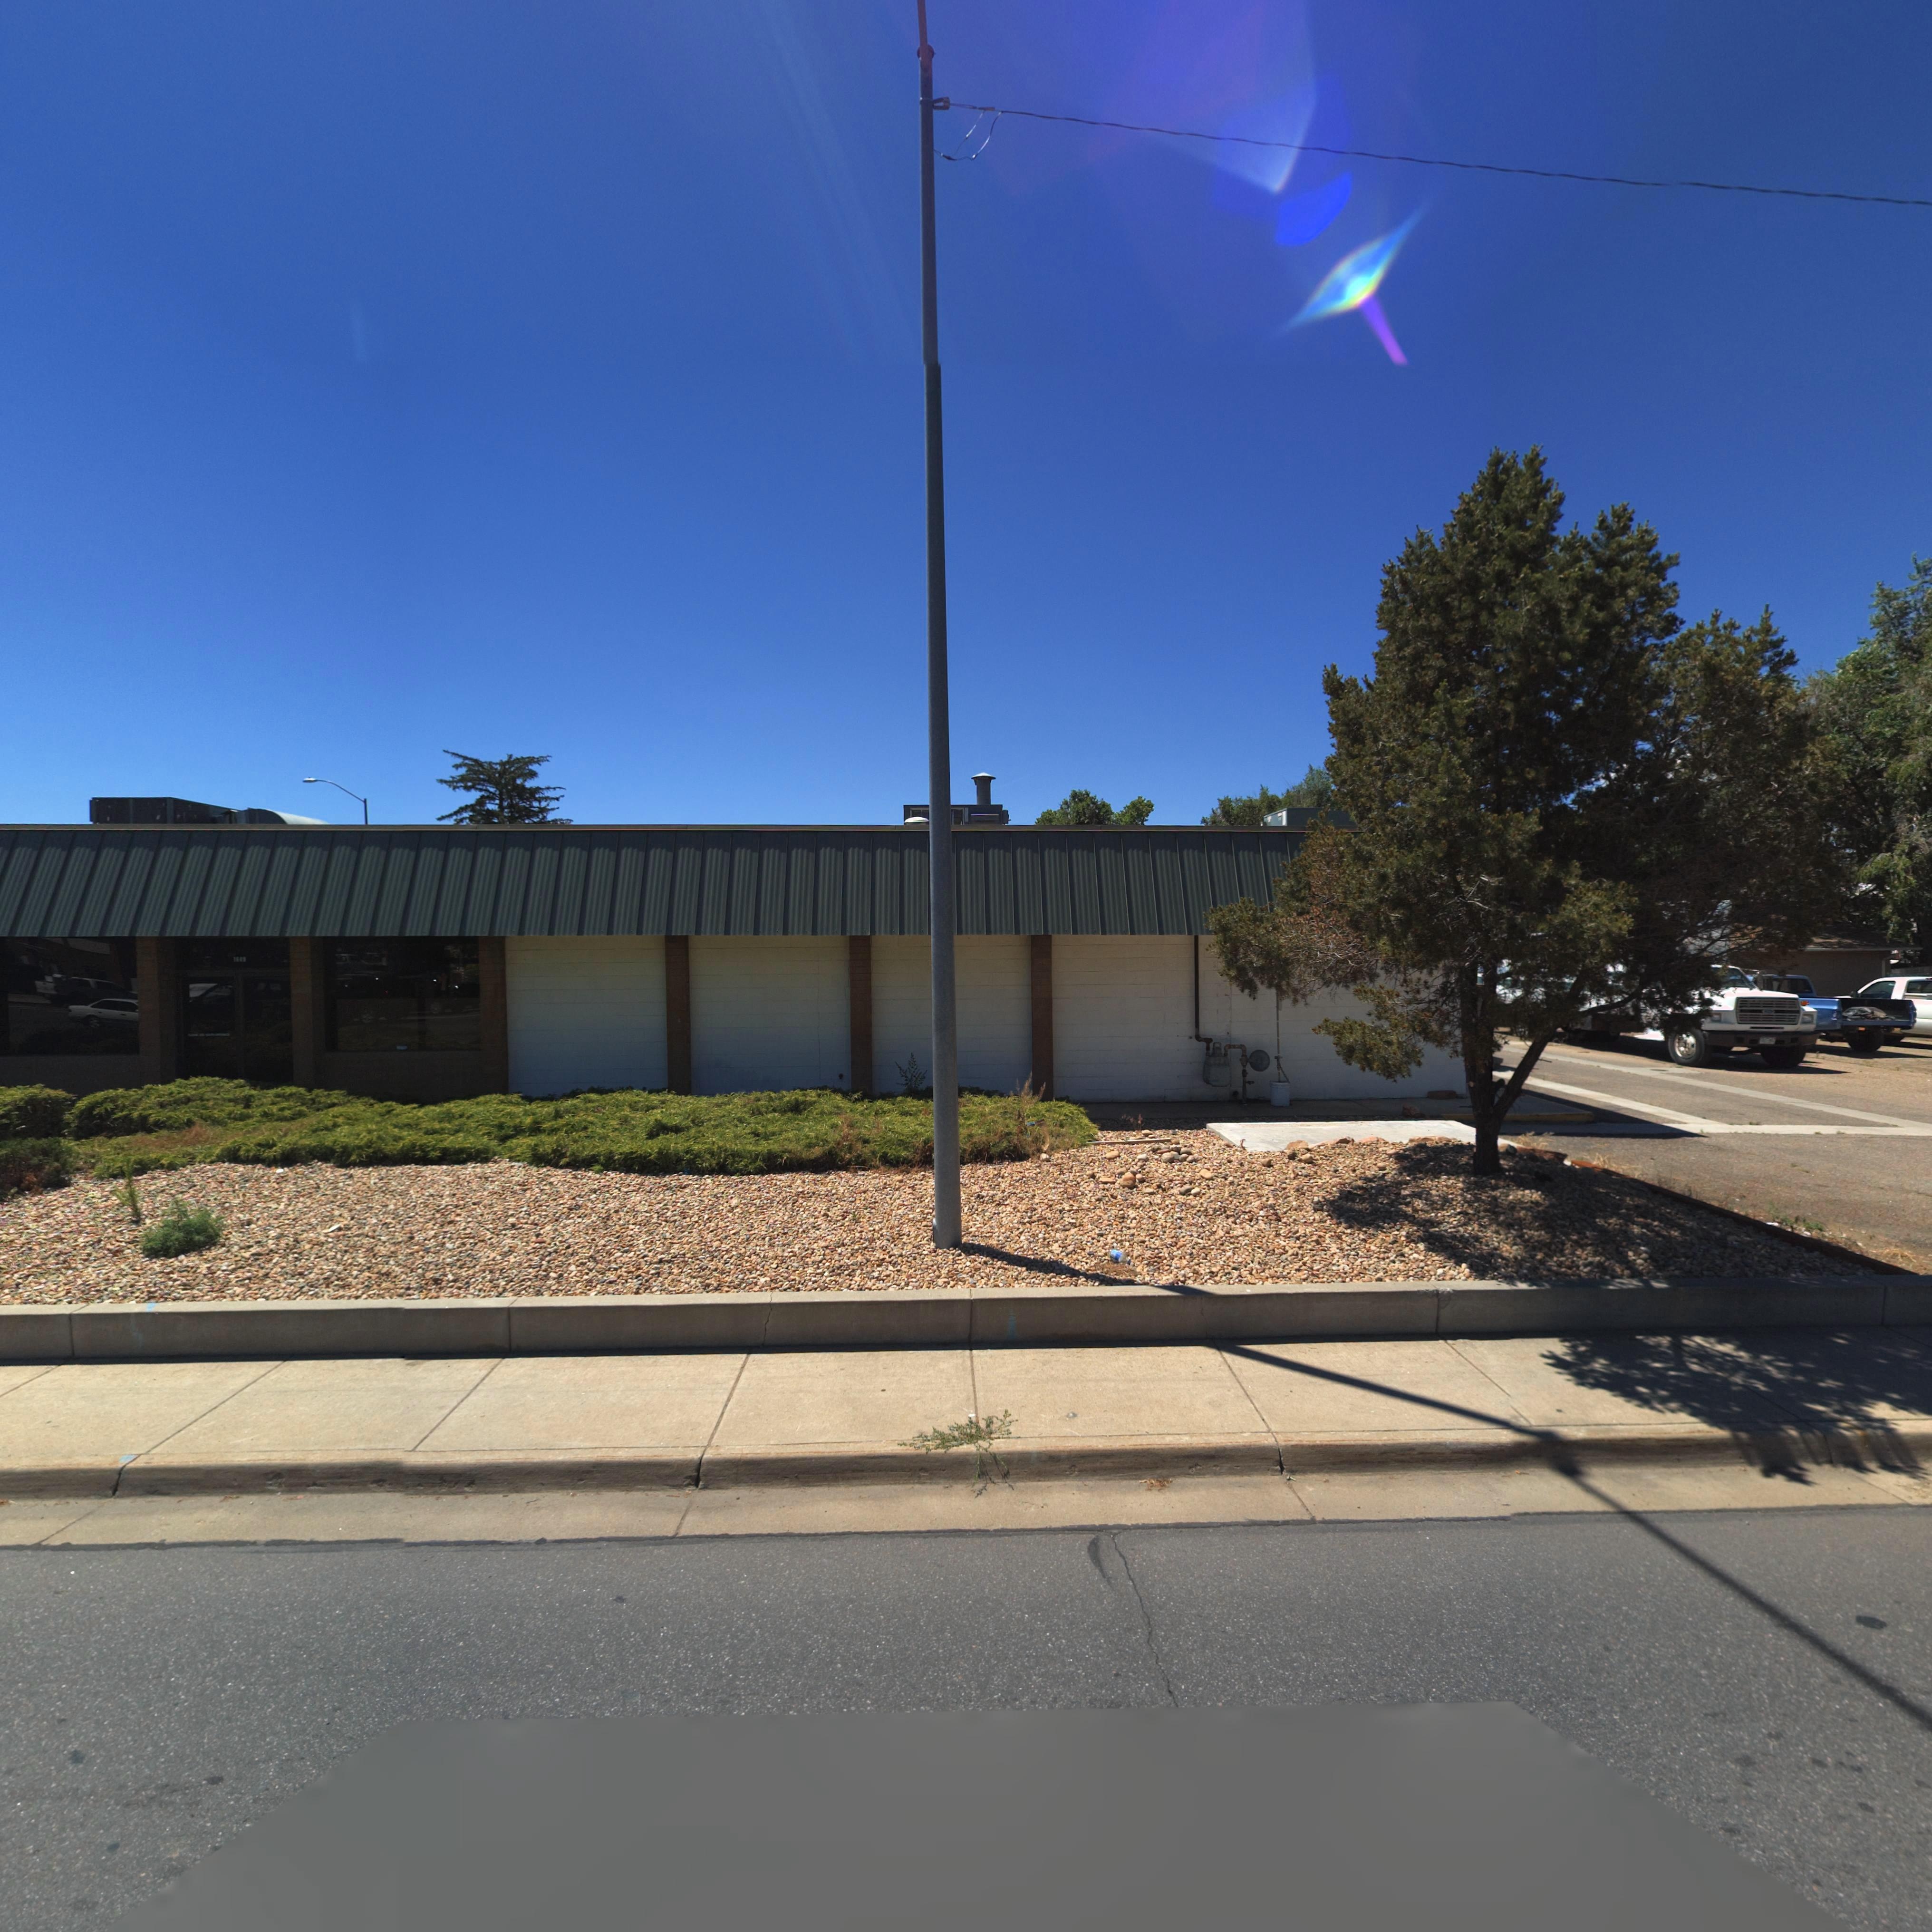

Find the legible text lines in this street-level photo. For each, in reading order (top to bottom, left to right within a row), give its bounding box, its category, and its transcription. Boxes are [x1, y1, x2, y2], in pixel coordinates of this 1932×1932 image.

[233, 956, 246, 962] StreetNumber: 1***